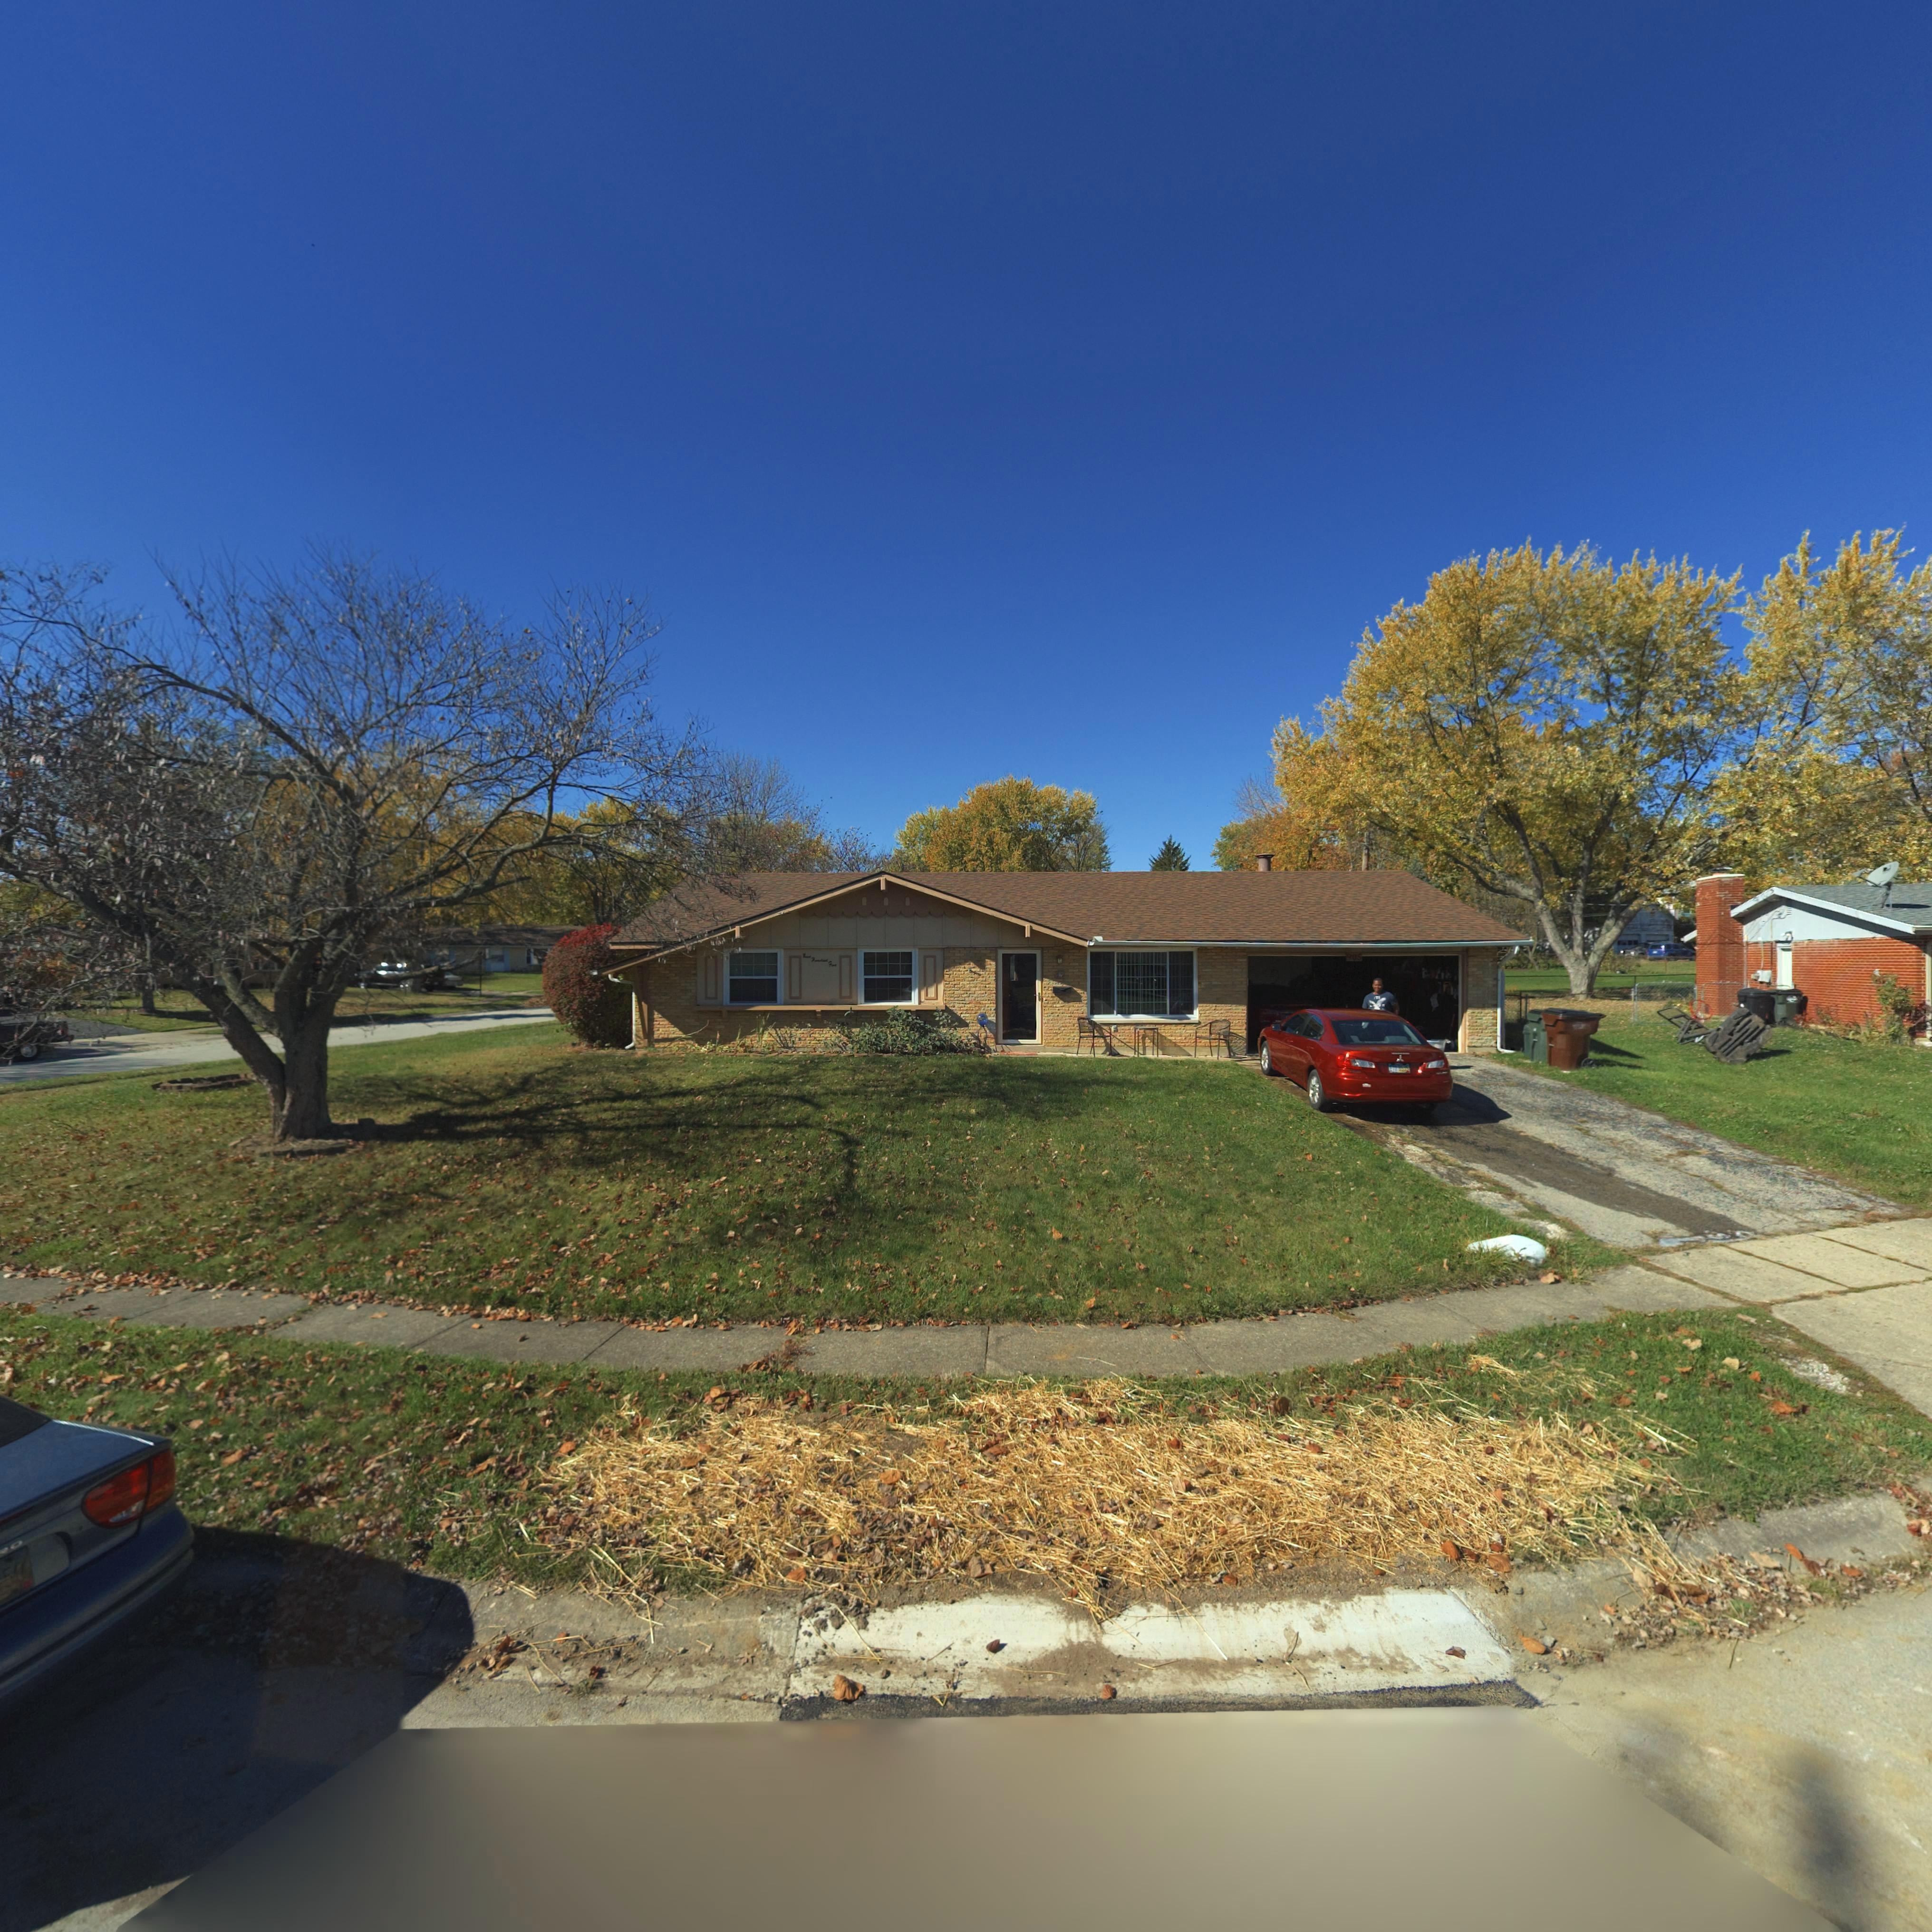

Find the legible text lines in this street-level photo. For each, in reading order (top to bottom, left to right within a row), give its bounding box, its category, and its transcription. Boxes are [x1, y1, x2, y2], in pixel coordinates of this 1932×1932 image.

[1346, 953, 1362, 961] StreetNumber: 905
[827, 960, 832, 968] StreetNumber: F